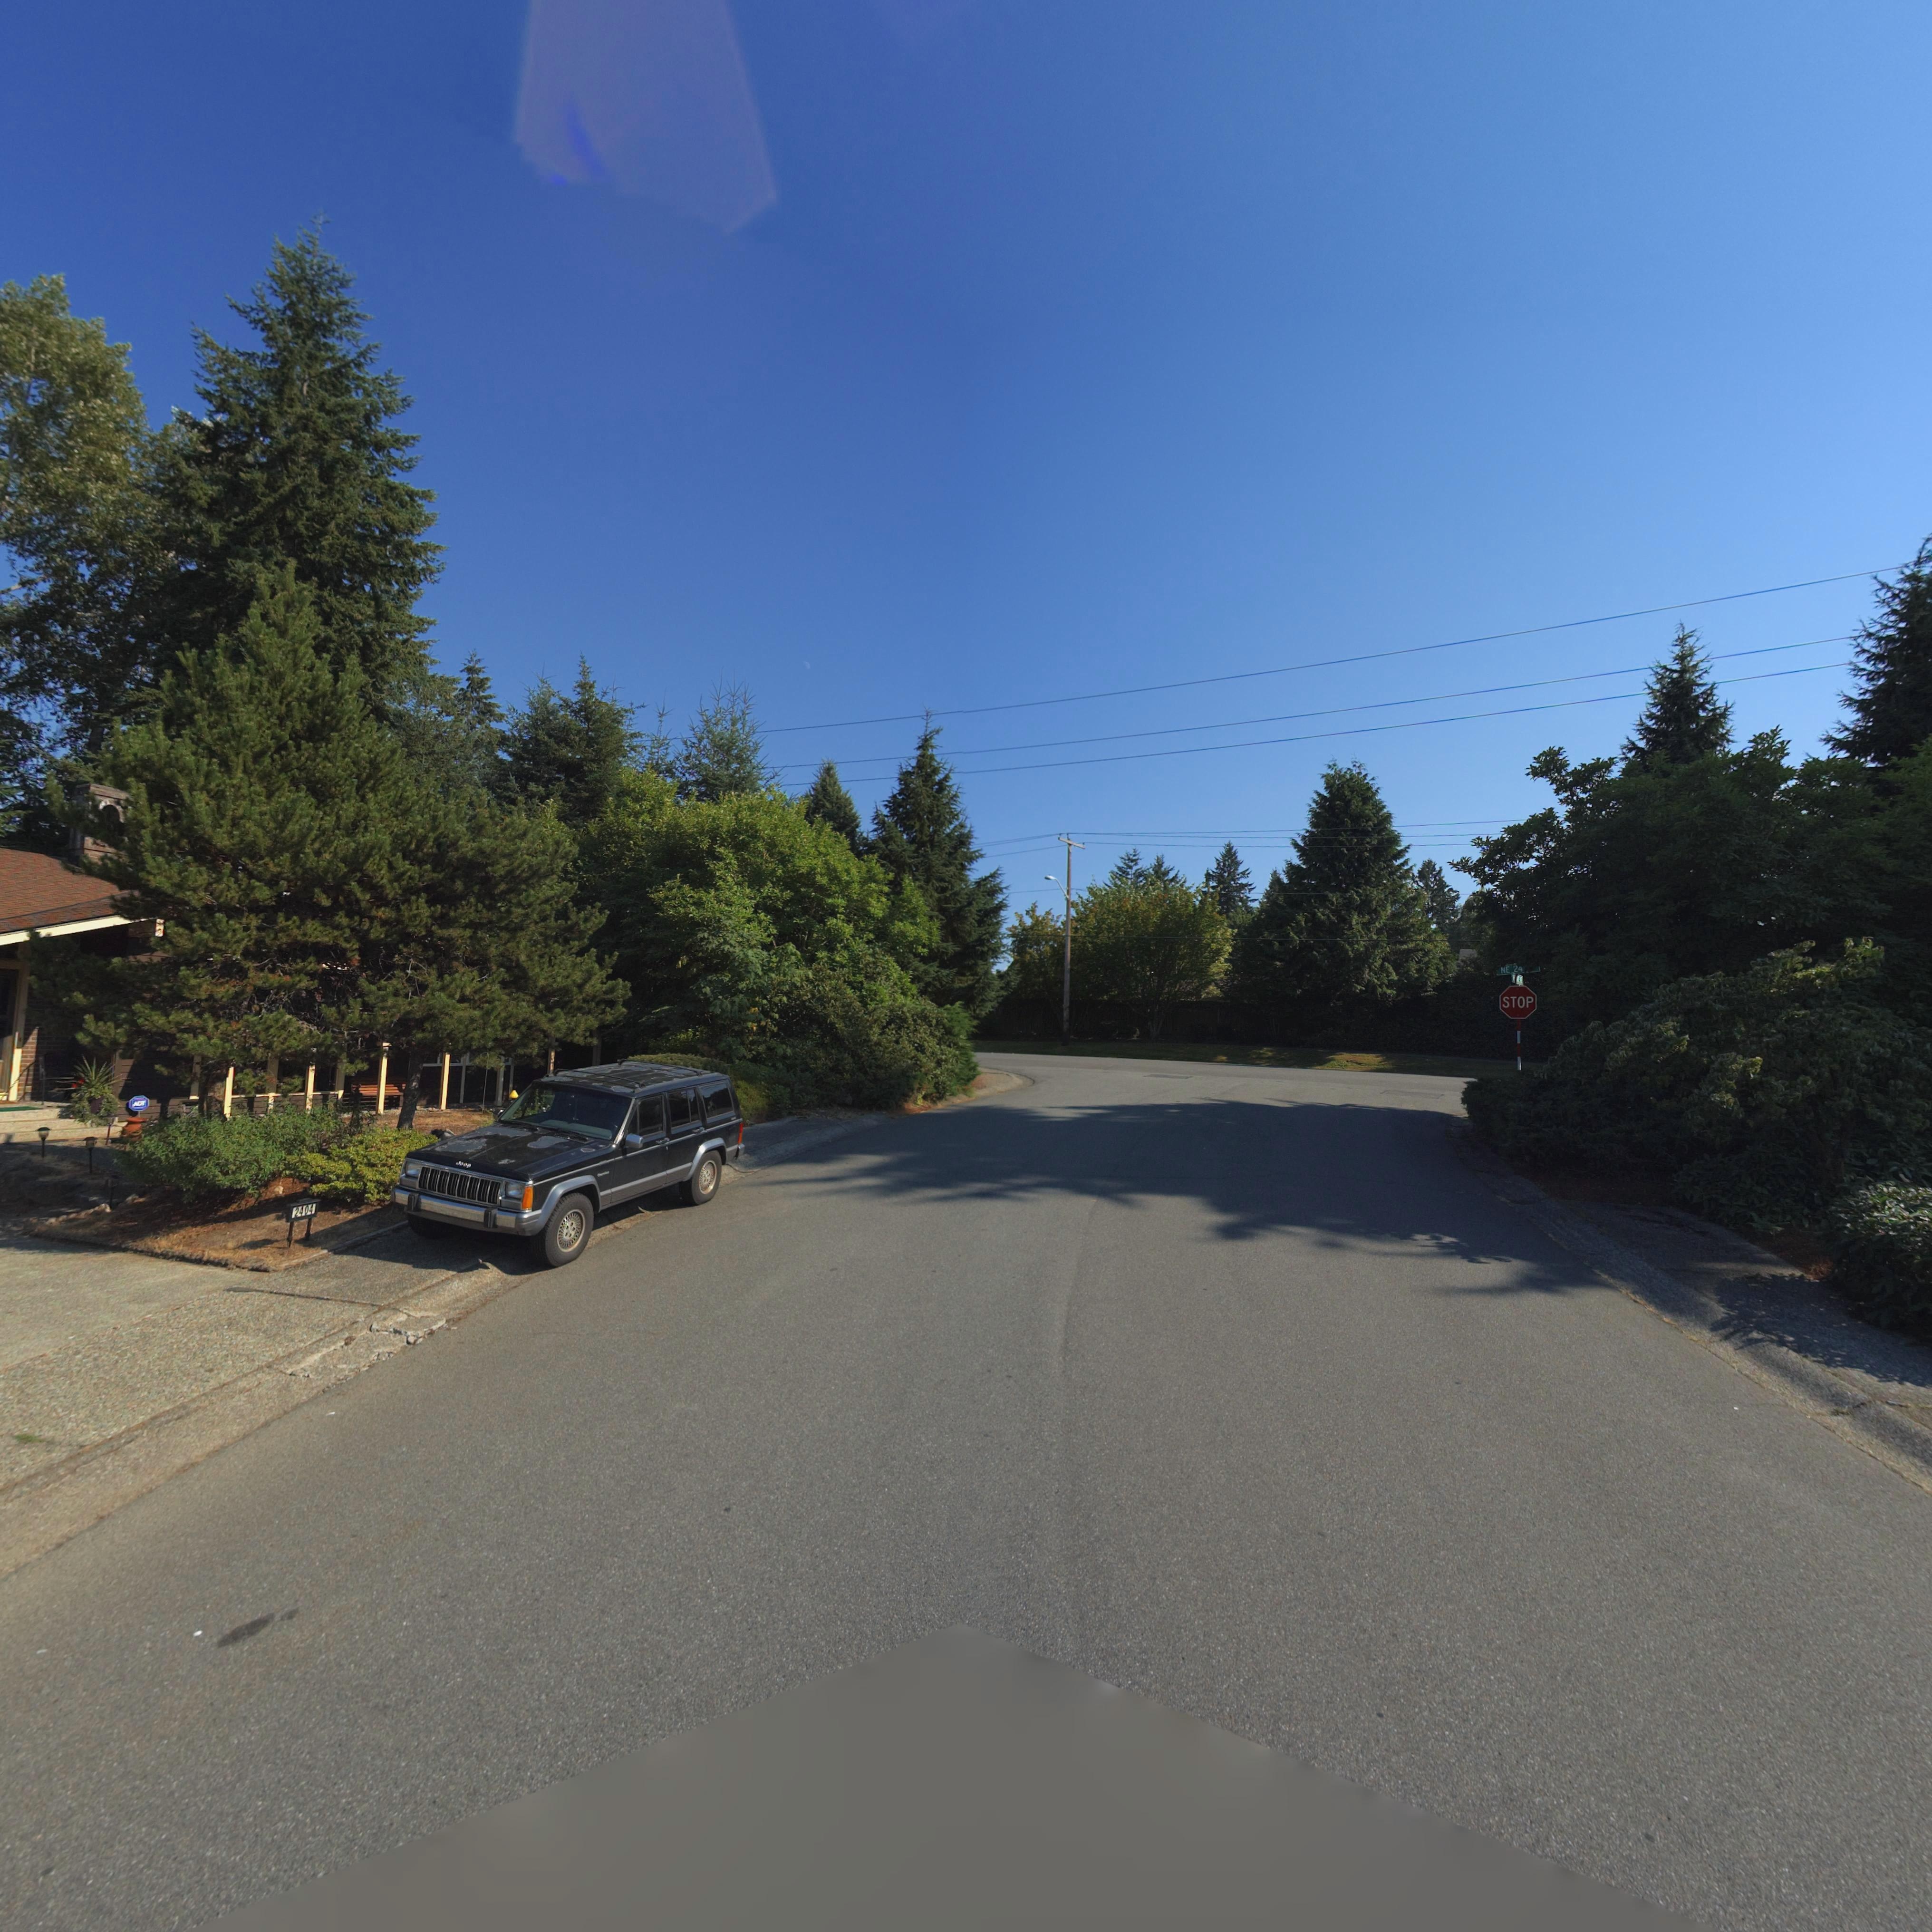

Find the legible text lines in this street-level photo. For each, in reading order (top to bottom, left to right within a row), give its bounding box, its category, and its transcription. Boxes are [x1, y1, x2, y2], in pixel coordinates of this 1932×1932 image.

[291, 1203, 316, 1219] StreetNumber: 2404